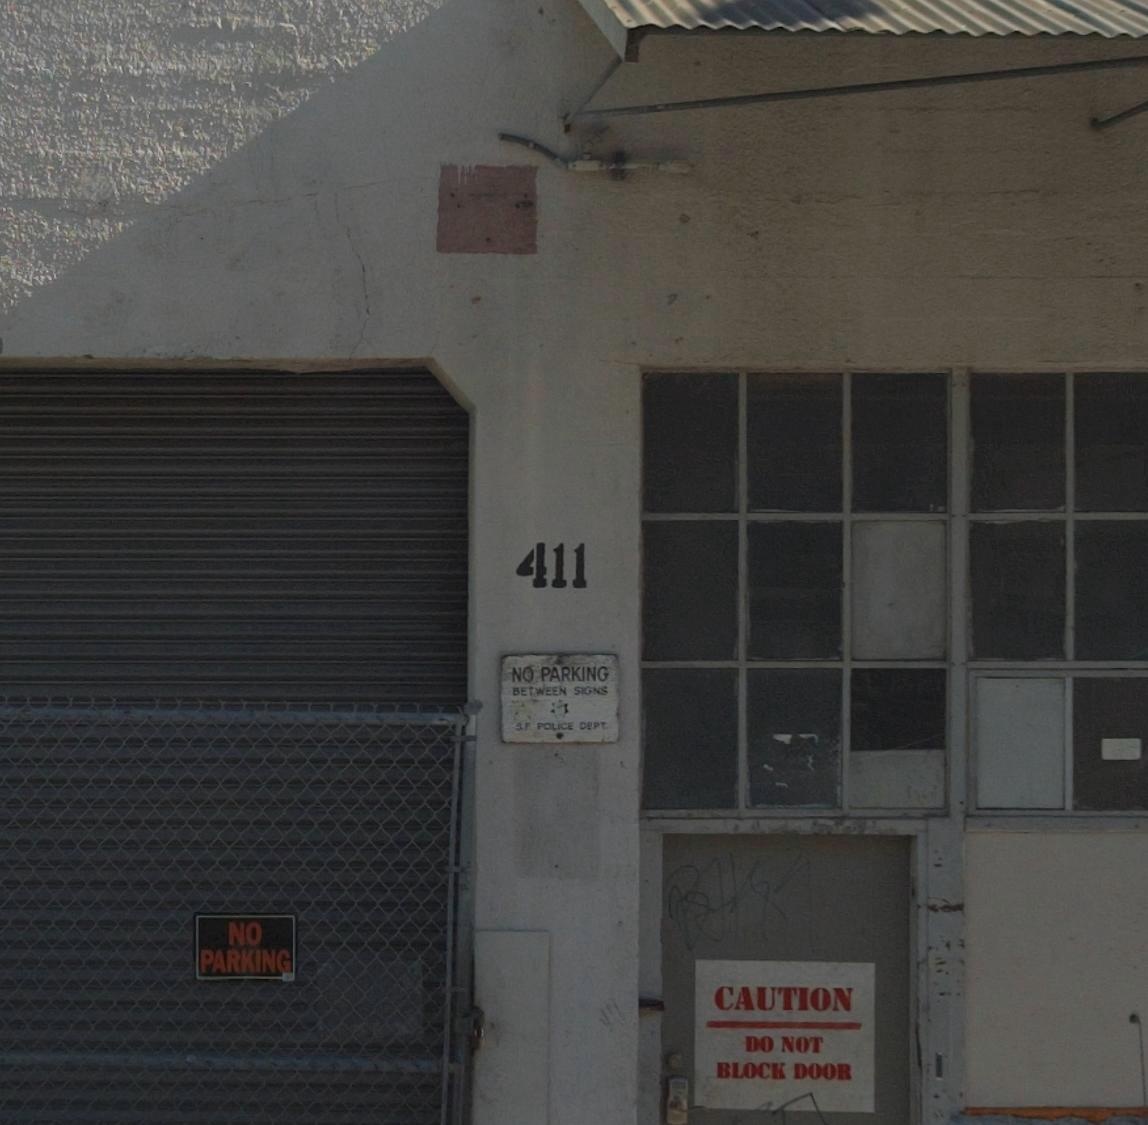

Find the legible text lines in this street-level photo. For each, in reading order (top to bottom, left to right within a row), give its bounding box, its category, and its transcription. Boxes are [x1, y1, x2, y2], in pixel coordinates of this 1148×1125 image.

[515, 541, 589, 590] StreetNumber: 411
[509, 664, 610, 683] None: NO PARKING
[510, 684, 608, 697] None: BETWEEN SIGNS
[514, 721, 608, 730] None: S.F. POLICE DEPT.
[227, 921, 263, 947] None: NO
[199, 949, 292, 974] None: PARKING
[713, 984, 855, 1013] None: CAUTION
[743, 1034, 825, 1055] None: DO NOT
[715, 1060, 853, 1081] None: BLACK DOOR